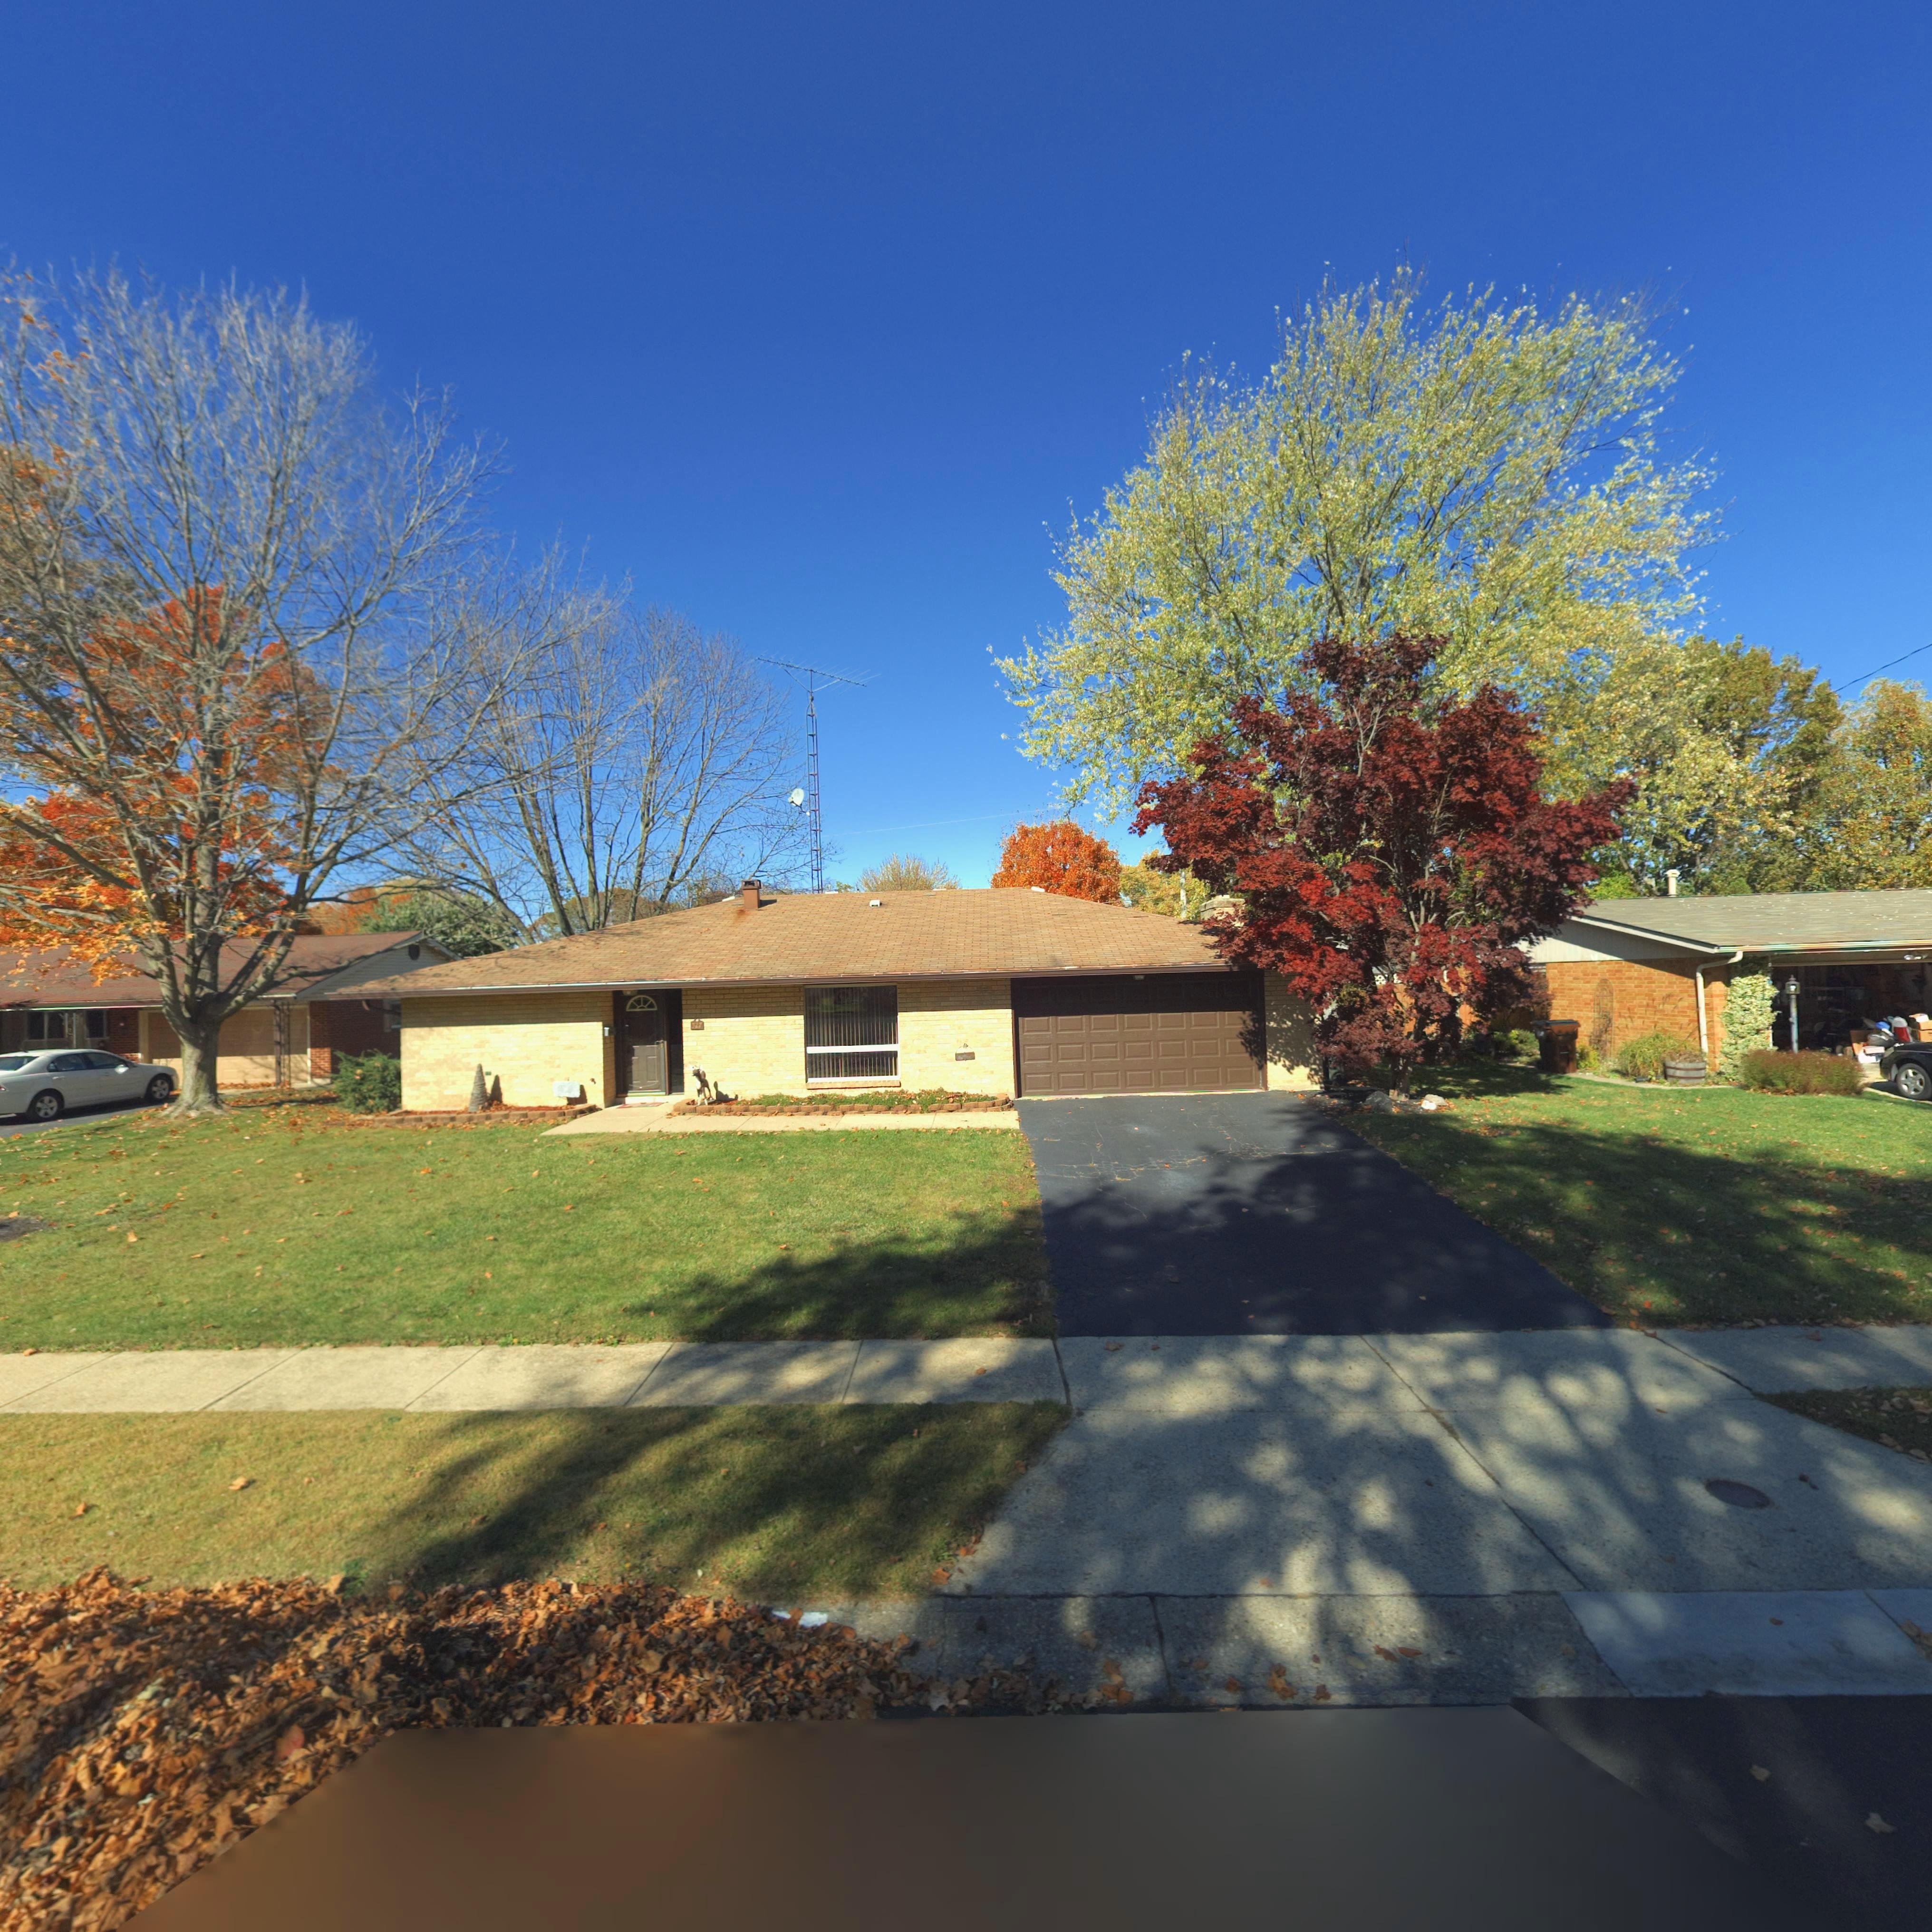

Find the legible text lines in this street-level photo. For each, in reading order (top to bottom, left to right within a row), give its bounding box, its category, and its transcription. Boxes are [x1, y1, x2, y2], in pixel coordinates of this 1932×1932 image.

[691, 1022, 703, 1029] StreetNumber: *27